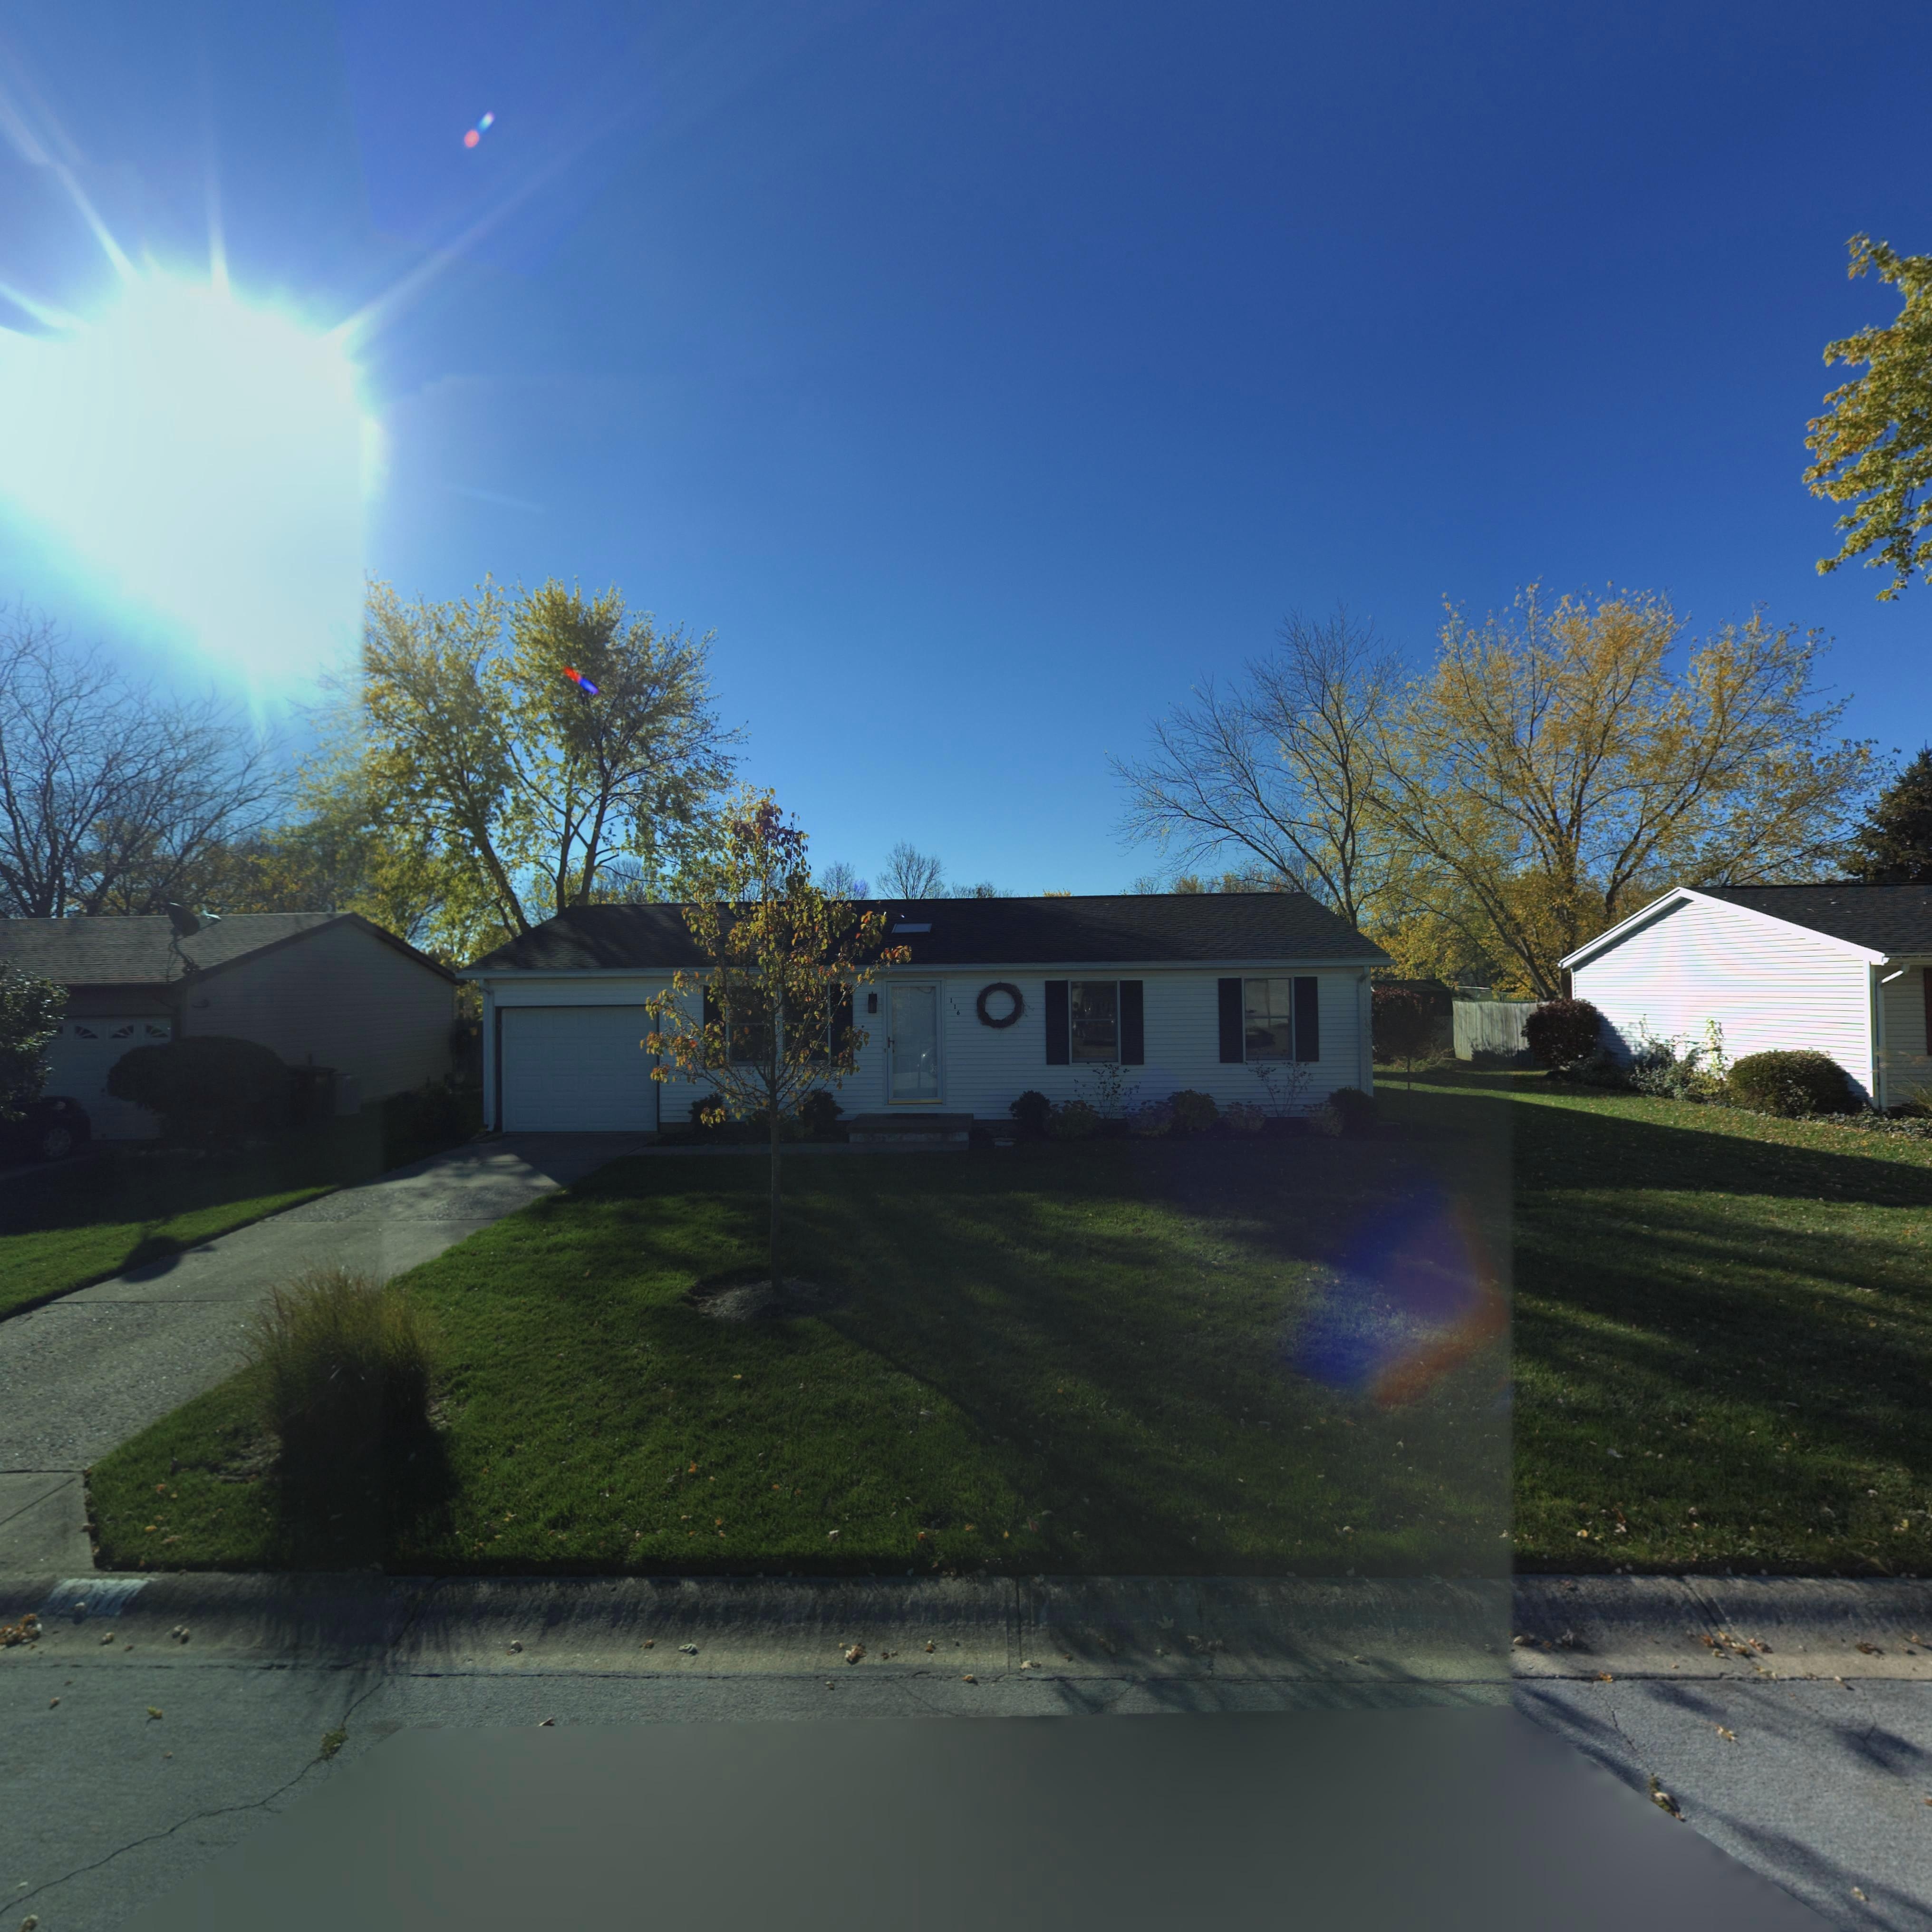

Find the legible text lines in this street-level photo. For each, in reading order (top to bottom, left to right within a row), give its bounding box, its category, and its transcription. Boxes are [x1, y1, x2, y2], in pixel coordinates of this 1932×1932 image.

[949, 997, 960, 1015] StreetNumber: 116
[88, 1586, 132, 1613] StreetNumber: 11